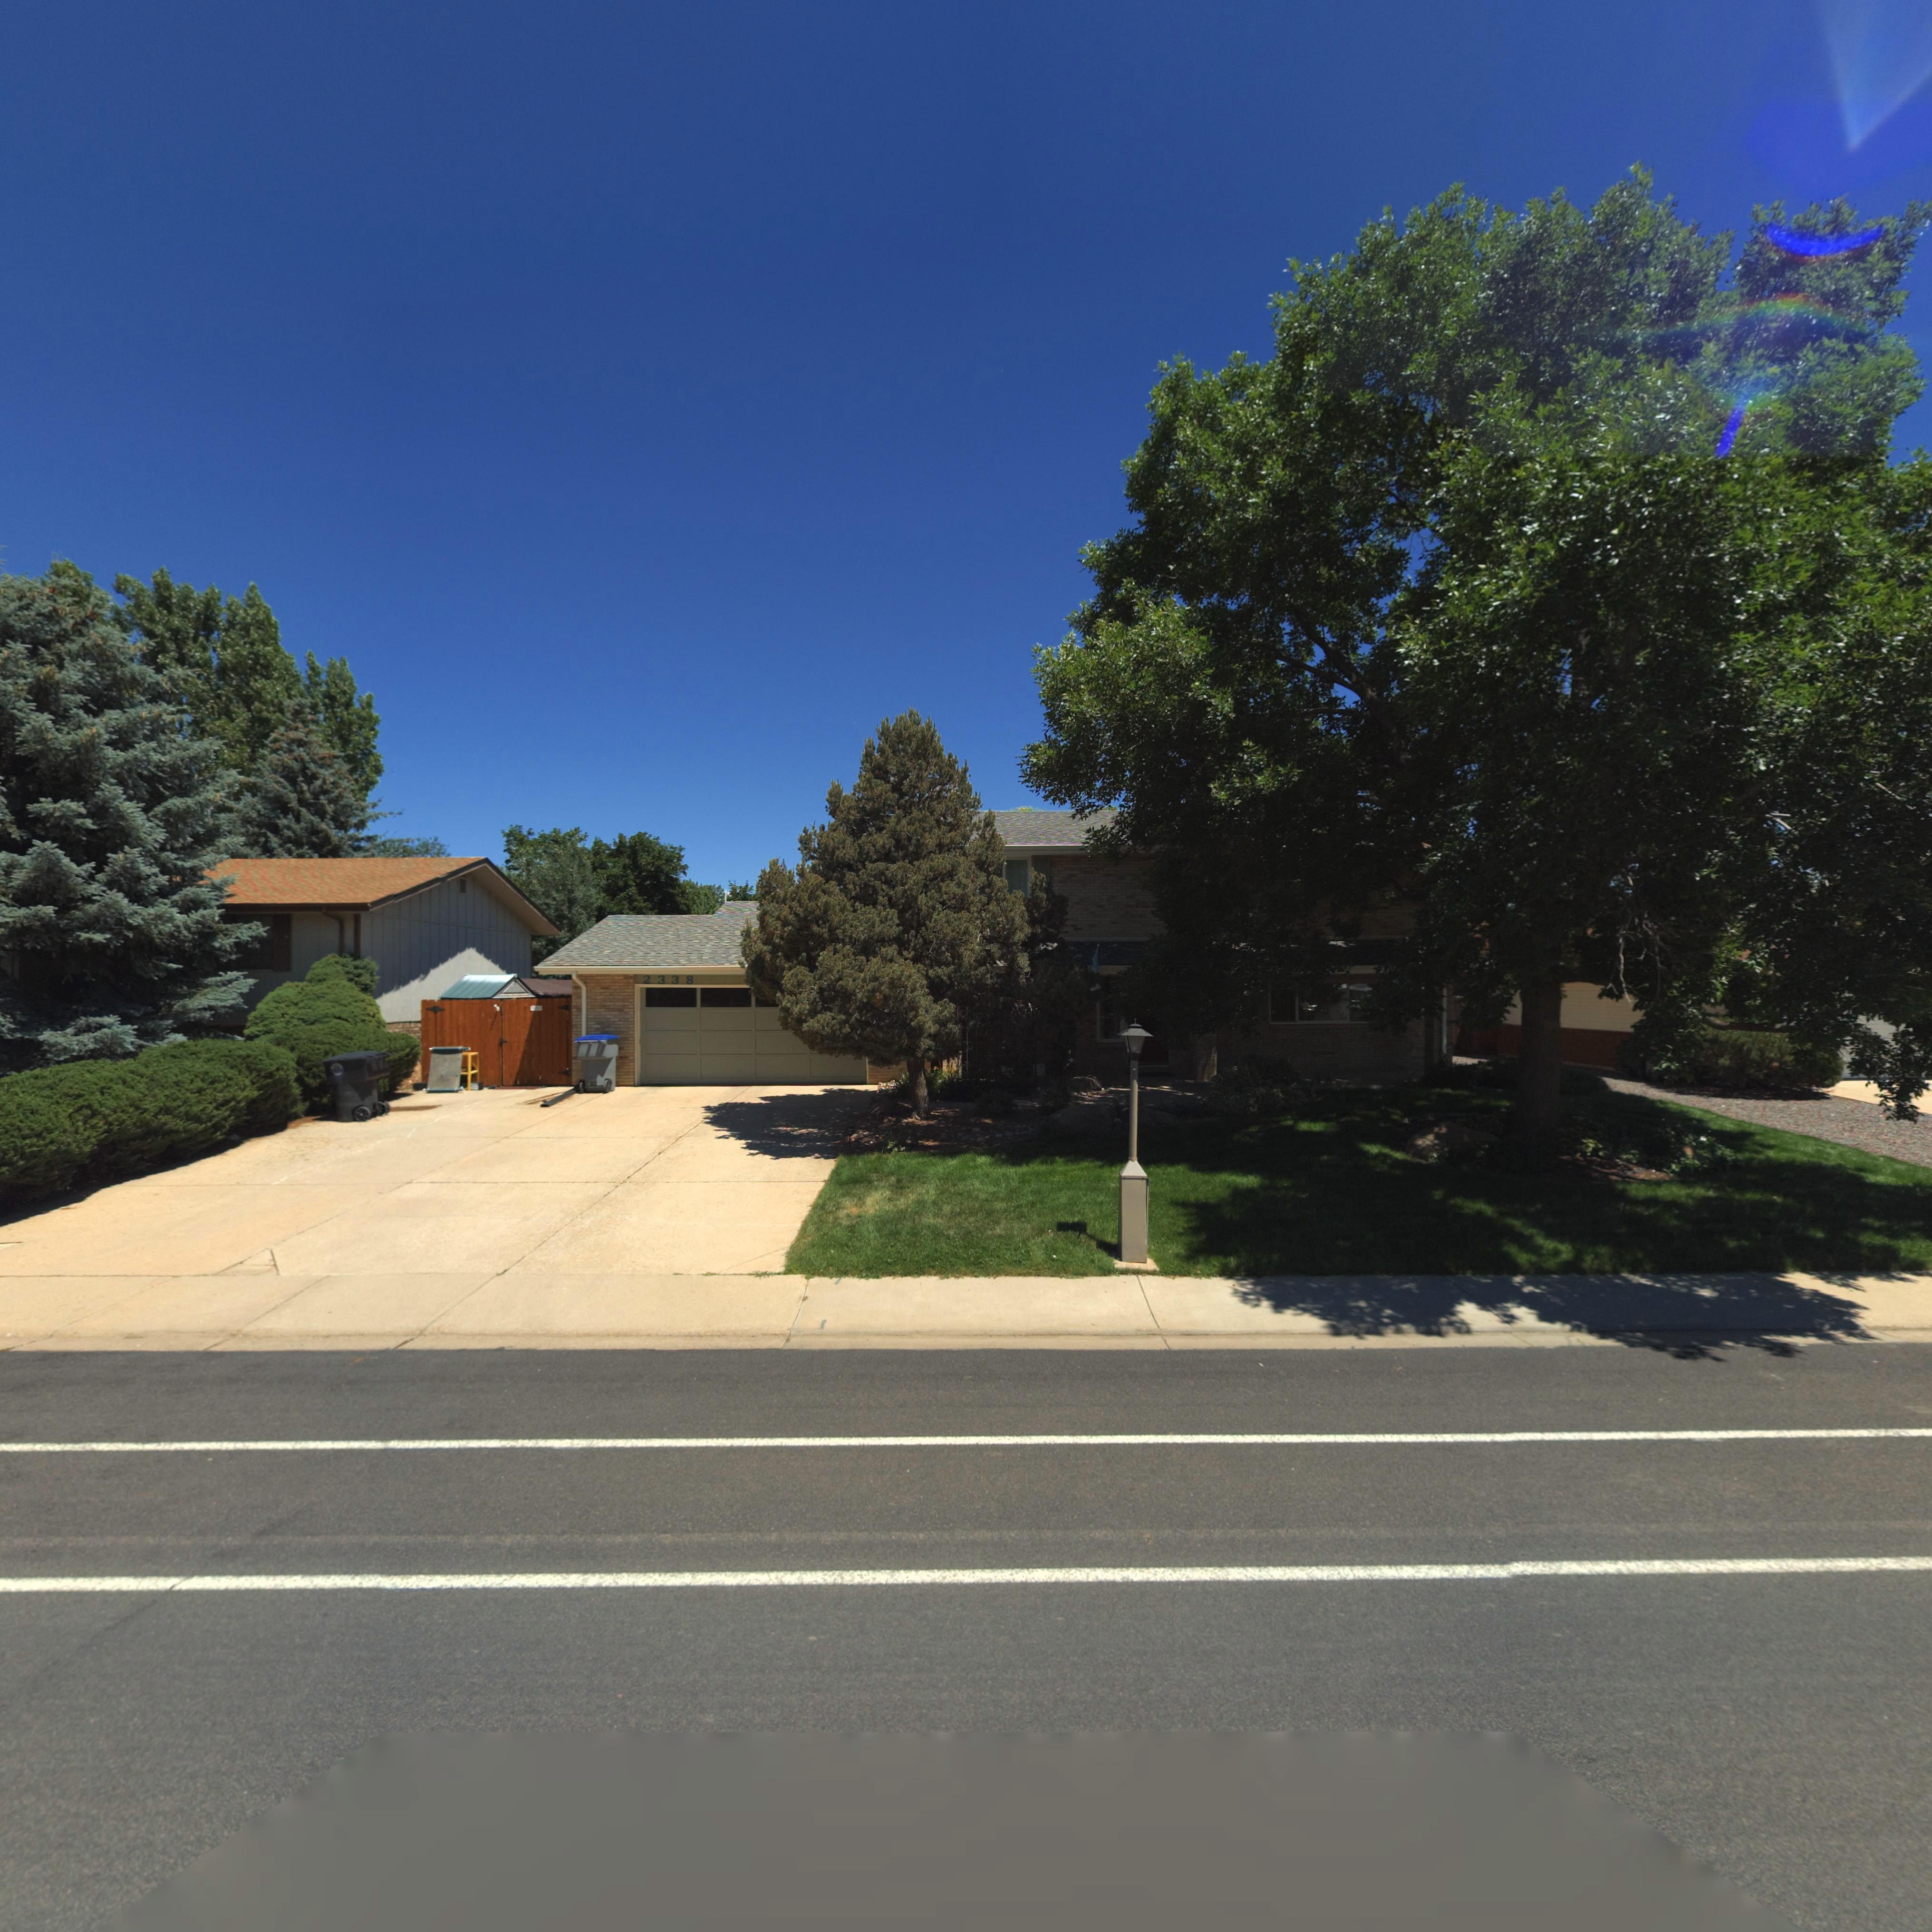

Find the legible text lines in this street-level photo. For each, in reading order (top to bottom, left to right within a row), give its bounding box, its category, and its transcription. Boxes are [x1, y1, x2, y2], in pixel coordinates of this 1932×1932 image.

[642, 975, 693, 984] StreetNumber: 2338